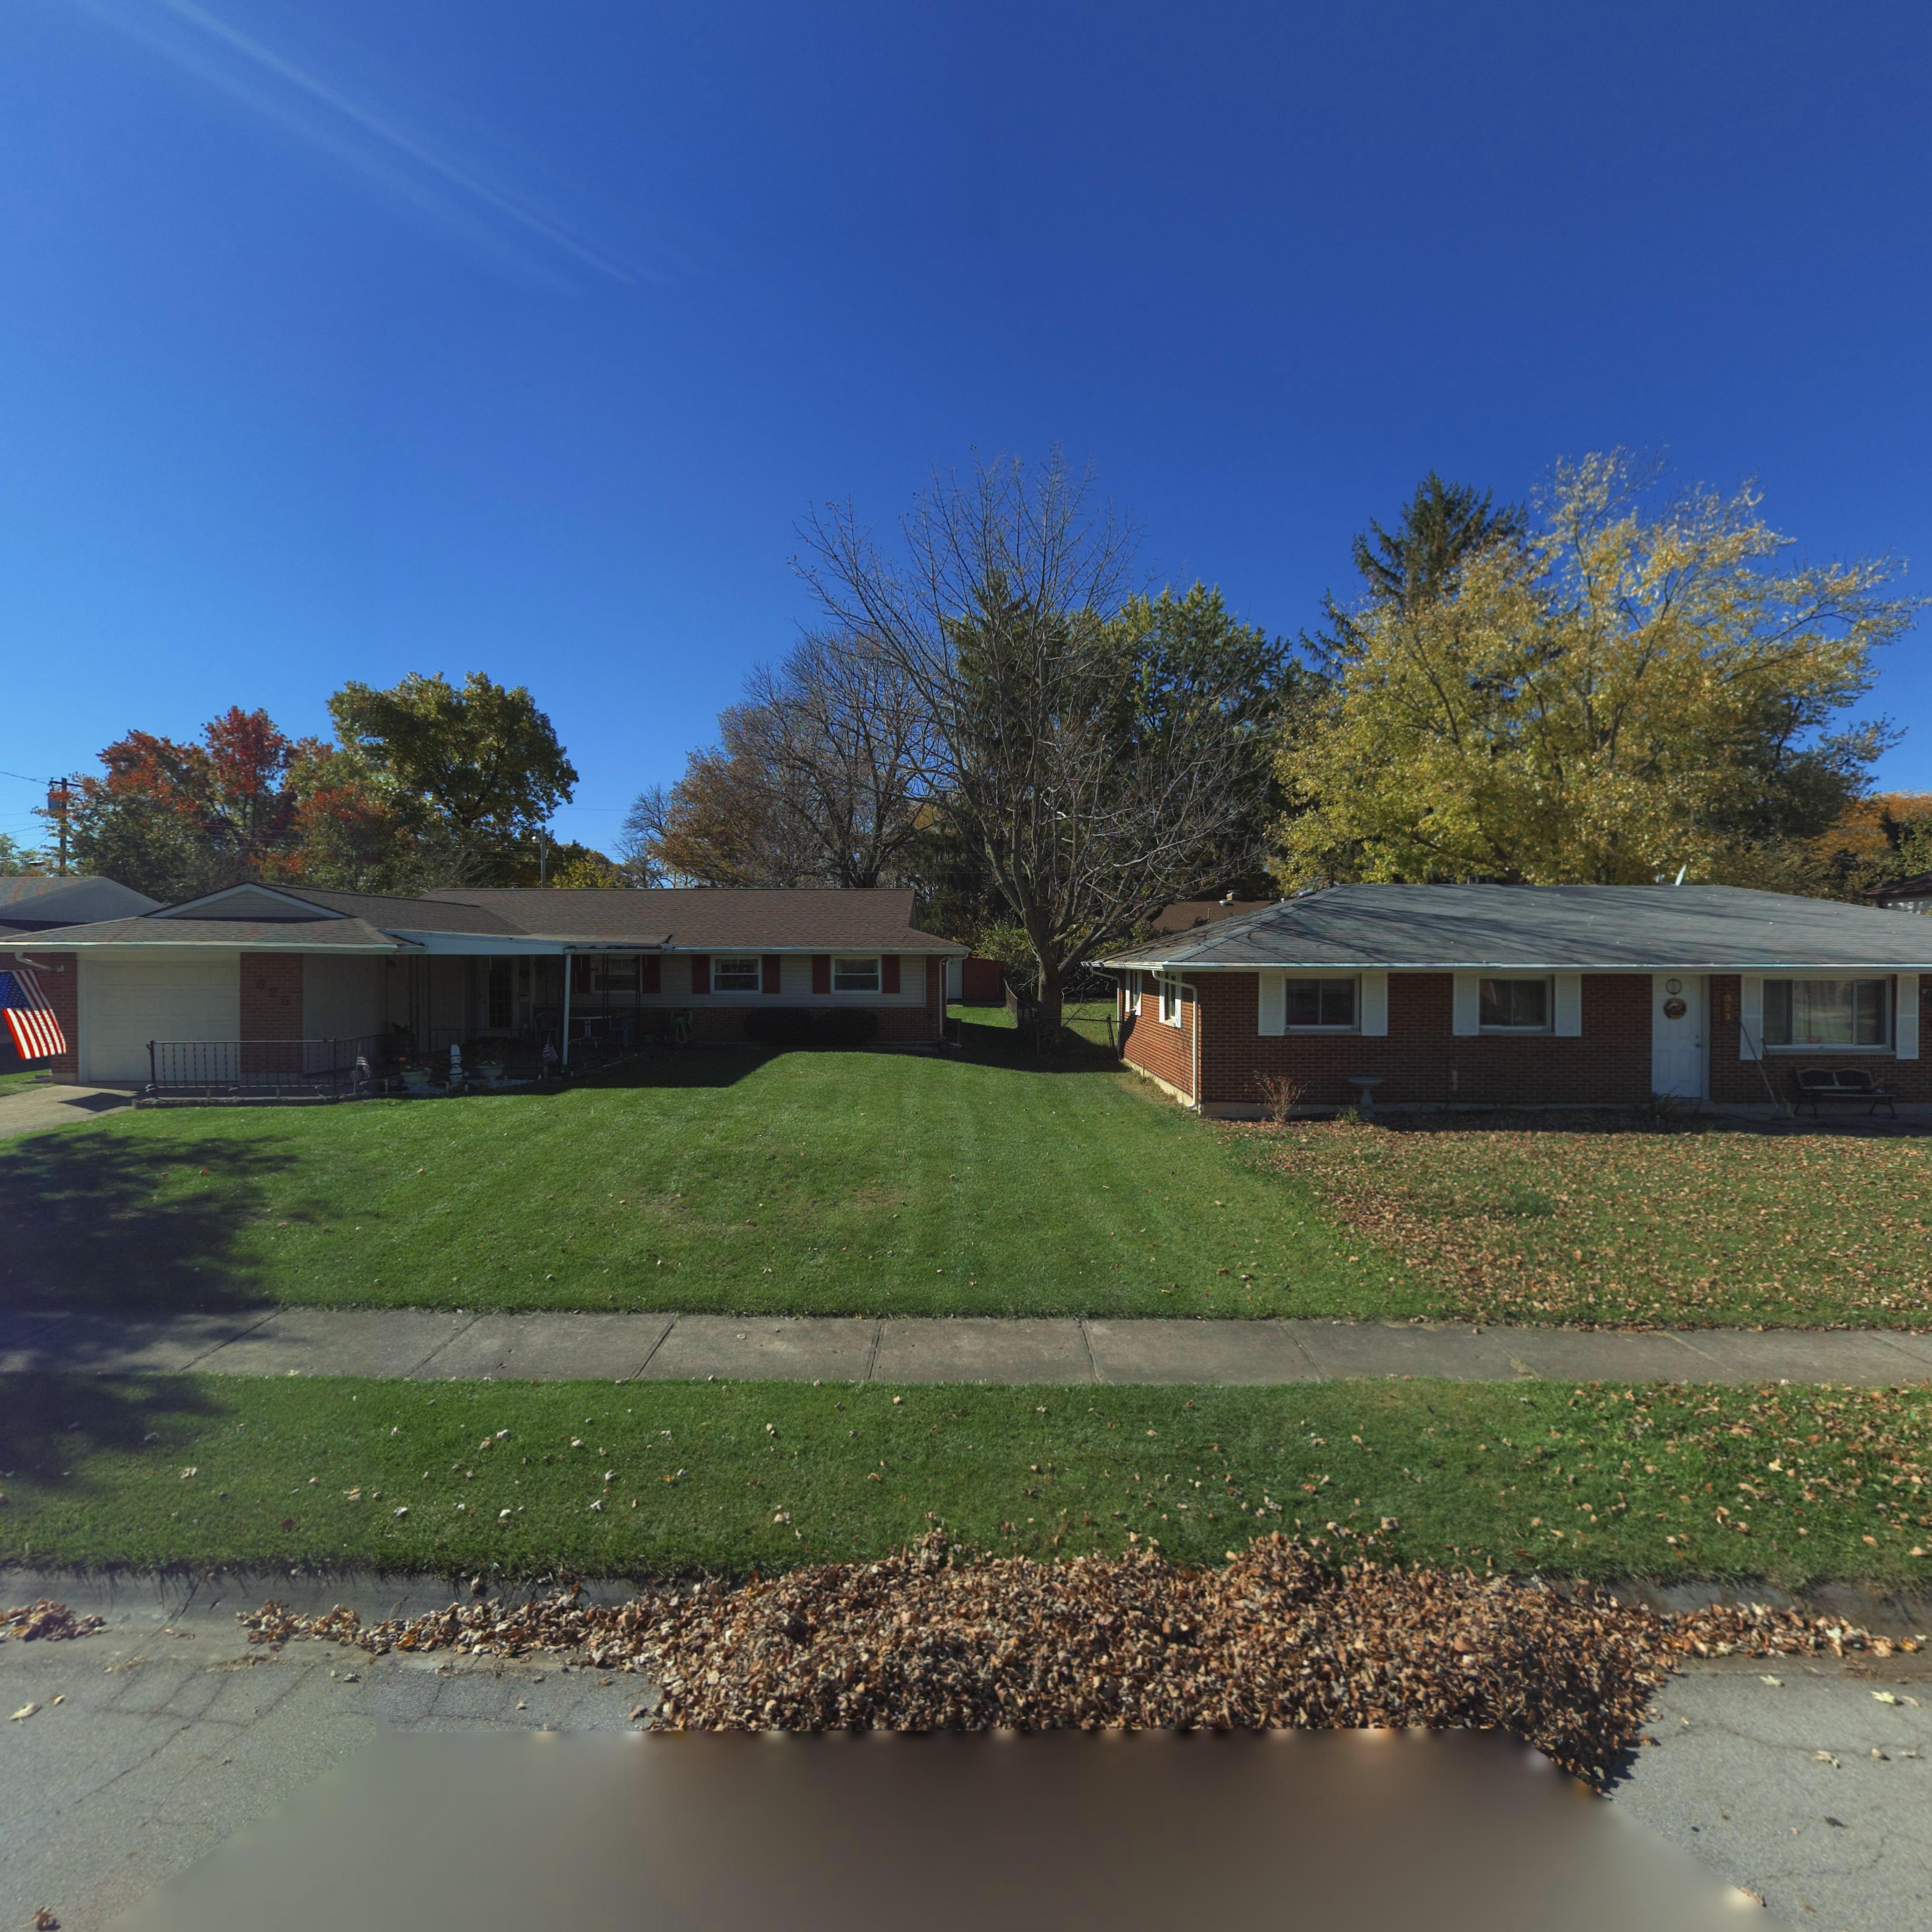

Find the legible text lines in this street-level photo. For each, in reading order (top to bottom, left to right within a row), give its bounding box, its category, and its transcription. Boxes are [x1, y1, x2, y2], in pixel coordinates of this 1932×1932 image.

[254, 978, 291, 1007] StreetNumber: 325
[1724, 993, 1732, 1022] StreetNumber: 323